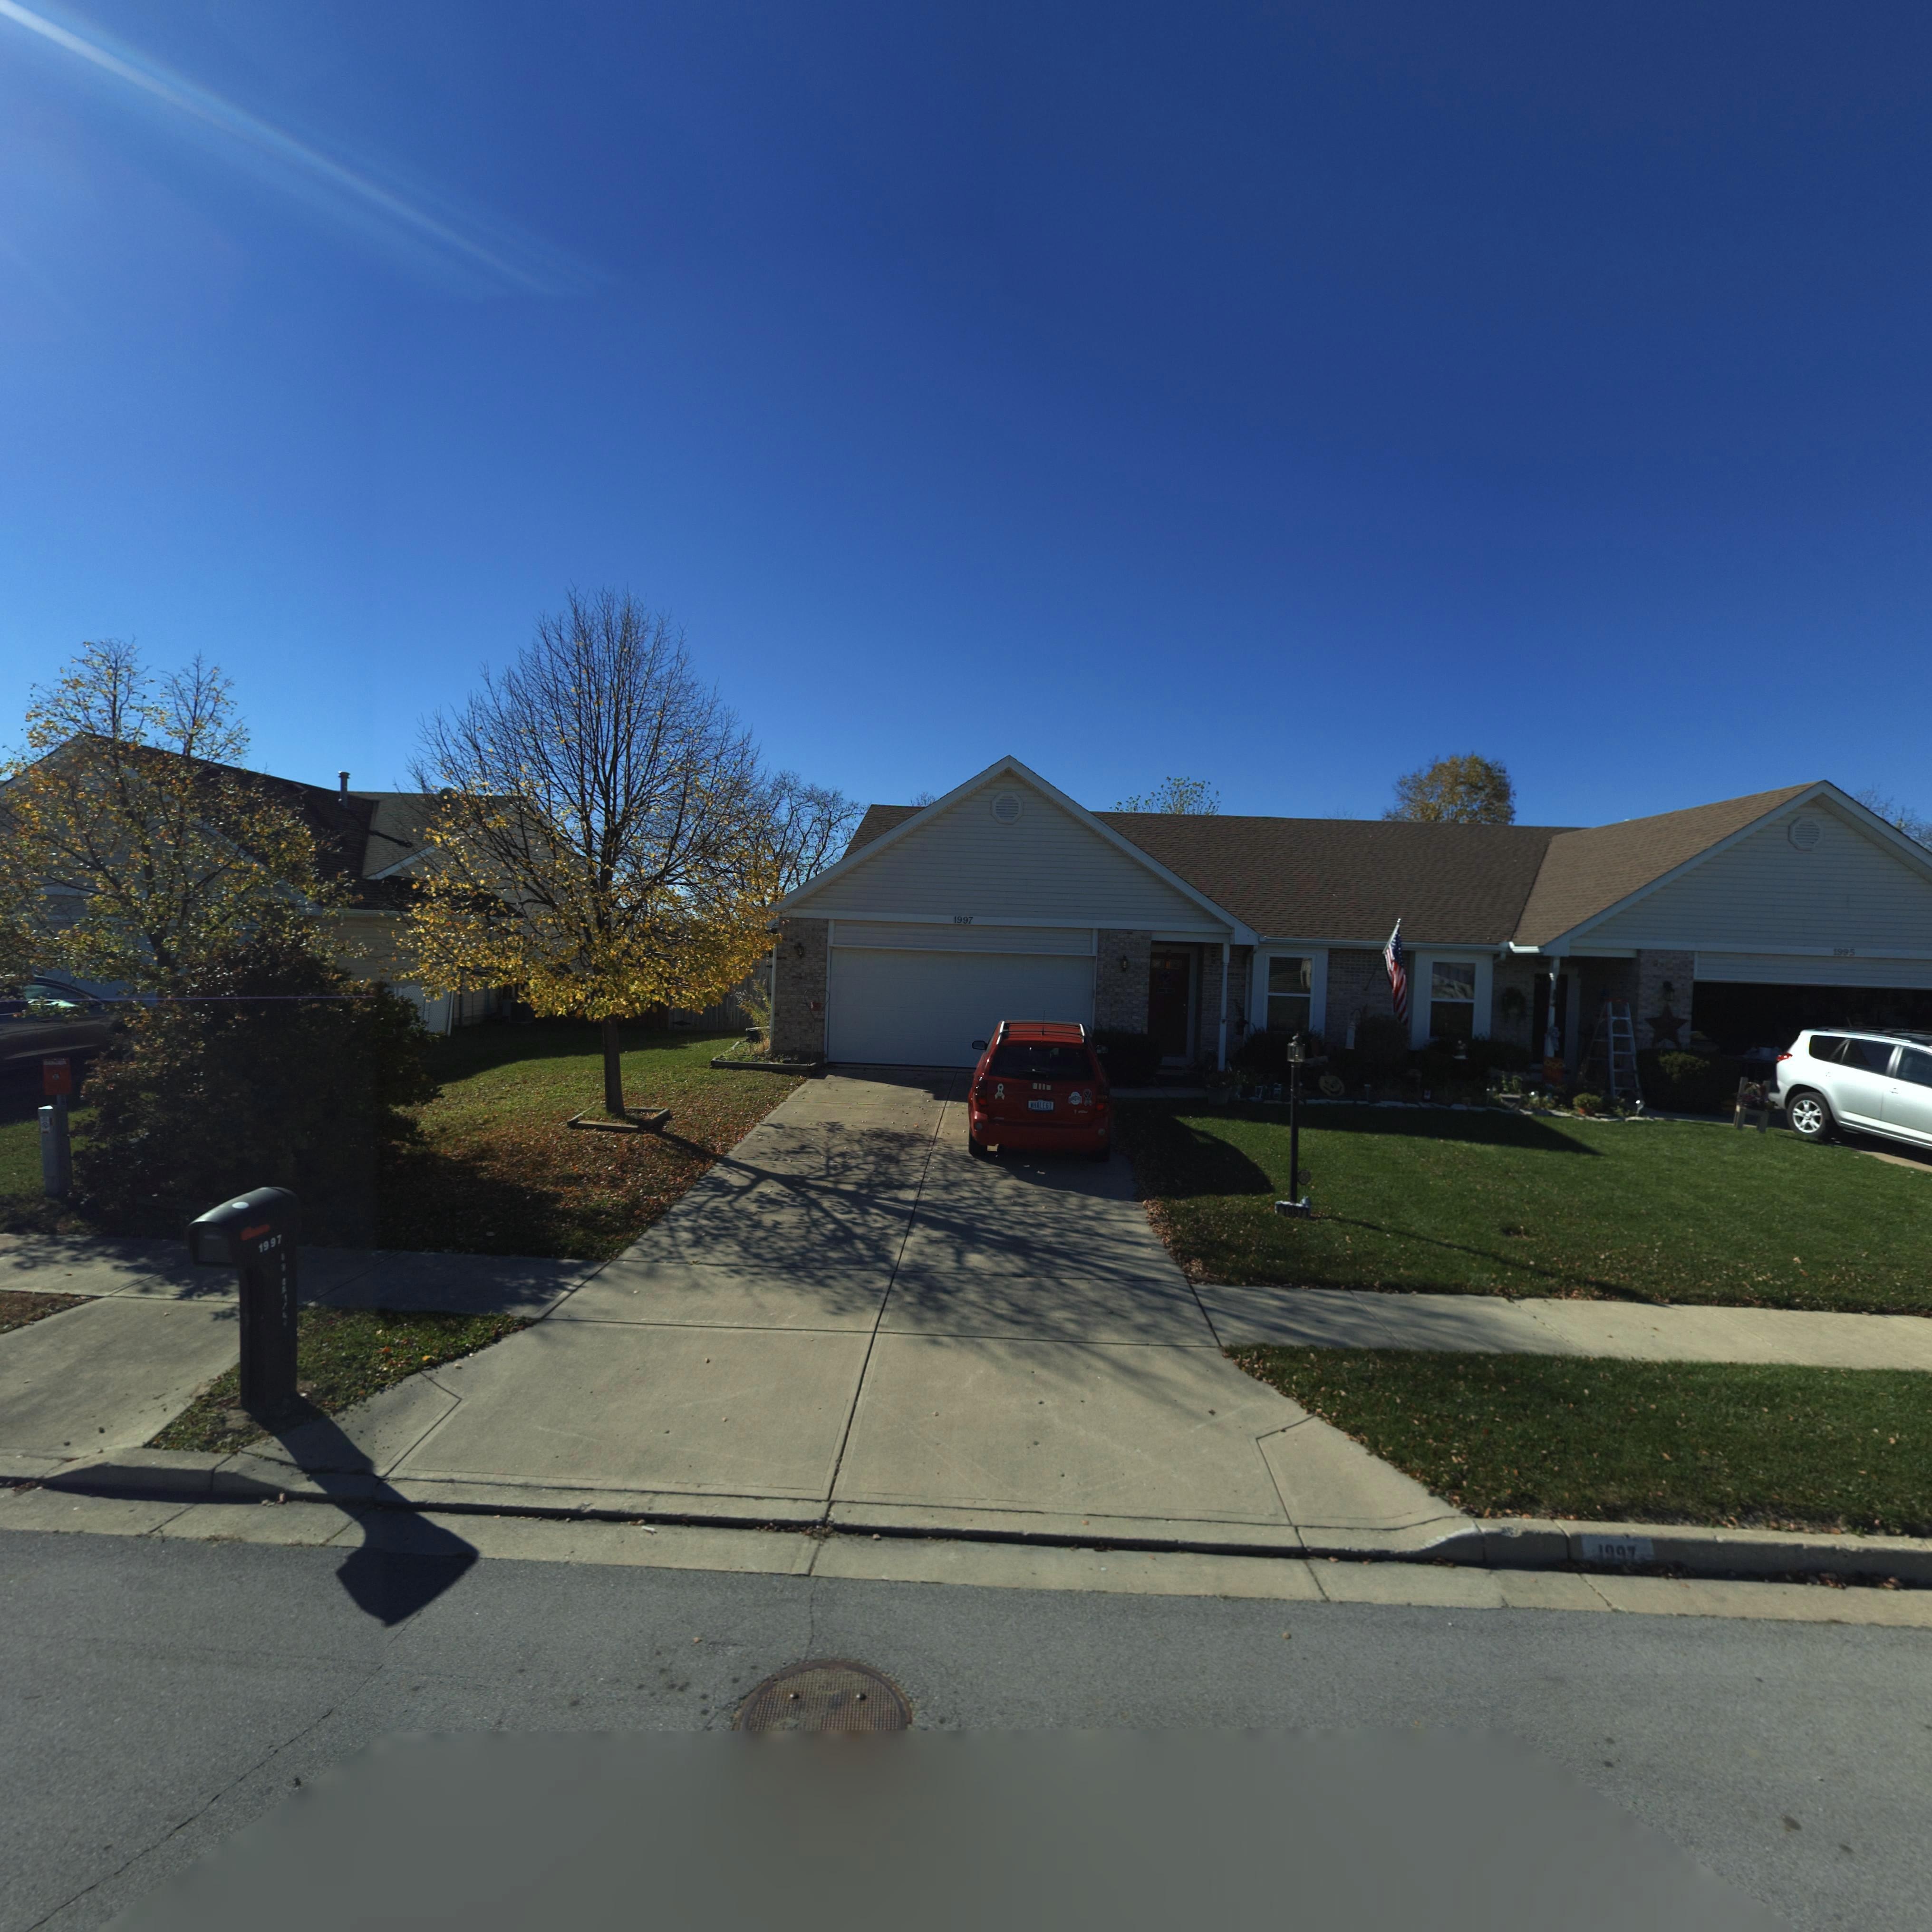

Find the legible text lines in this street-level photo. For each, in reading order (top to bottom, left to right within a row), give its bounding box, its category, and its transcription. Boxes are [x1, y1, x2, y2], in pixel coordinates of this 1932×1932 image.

[952, 915, 975, 925] StreetNumber: 1997
[1833, 947, 1856, 956] StreetNumber: 1995
[1281, 1206, 1305, 1219] StreetNumber: 1997
[257, 1232, 283, 1255] StreetNumber: 1997
[1595, 1542, 1639, 1564] StreetNumber: 199*